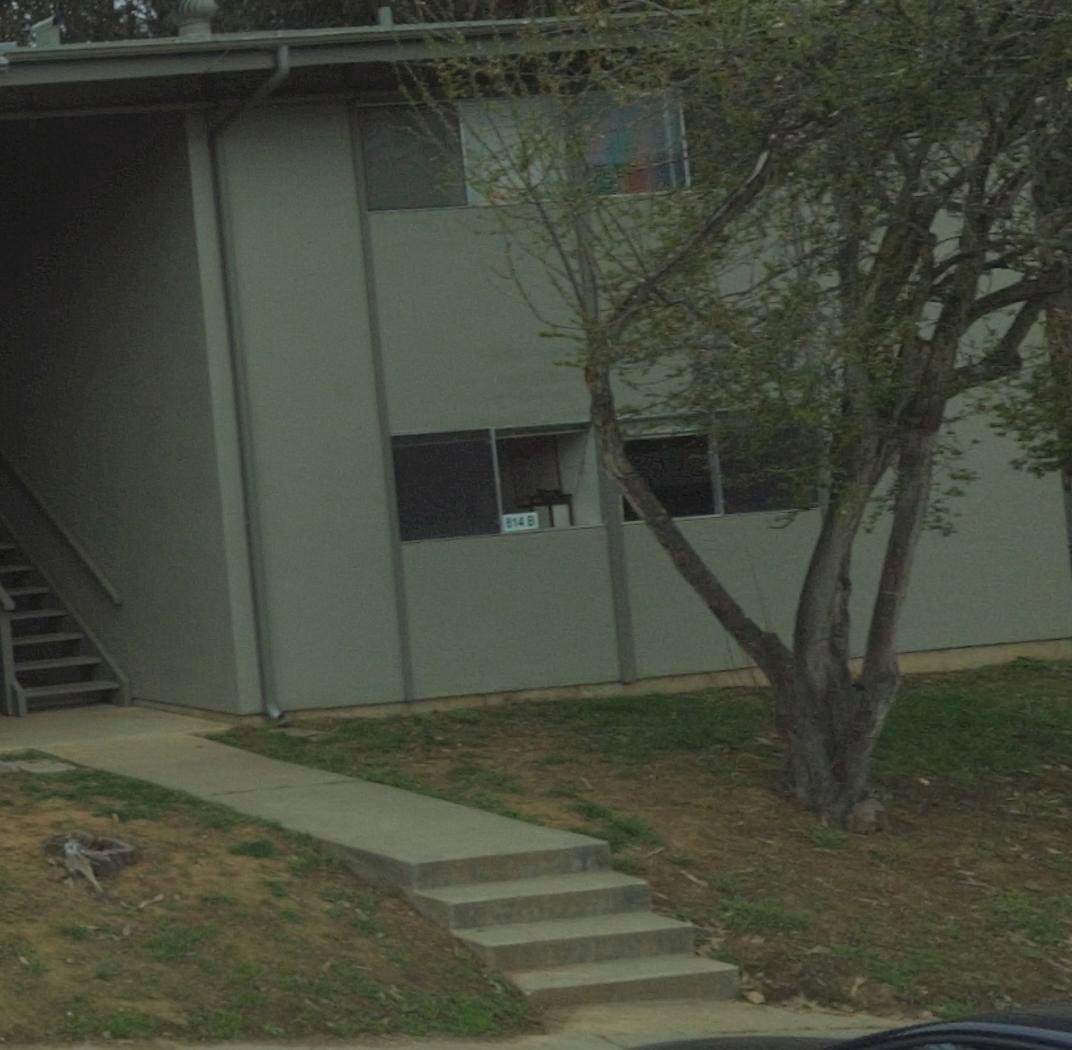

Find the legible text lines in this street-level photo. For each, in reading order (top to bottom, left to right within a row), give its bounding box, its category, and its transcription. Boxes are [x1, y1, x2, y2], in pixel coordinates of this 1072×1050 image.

[504, 512, 537, 530] StreetNumber: 814 B